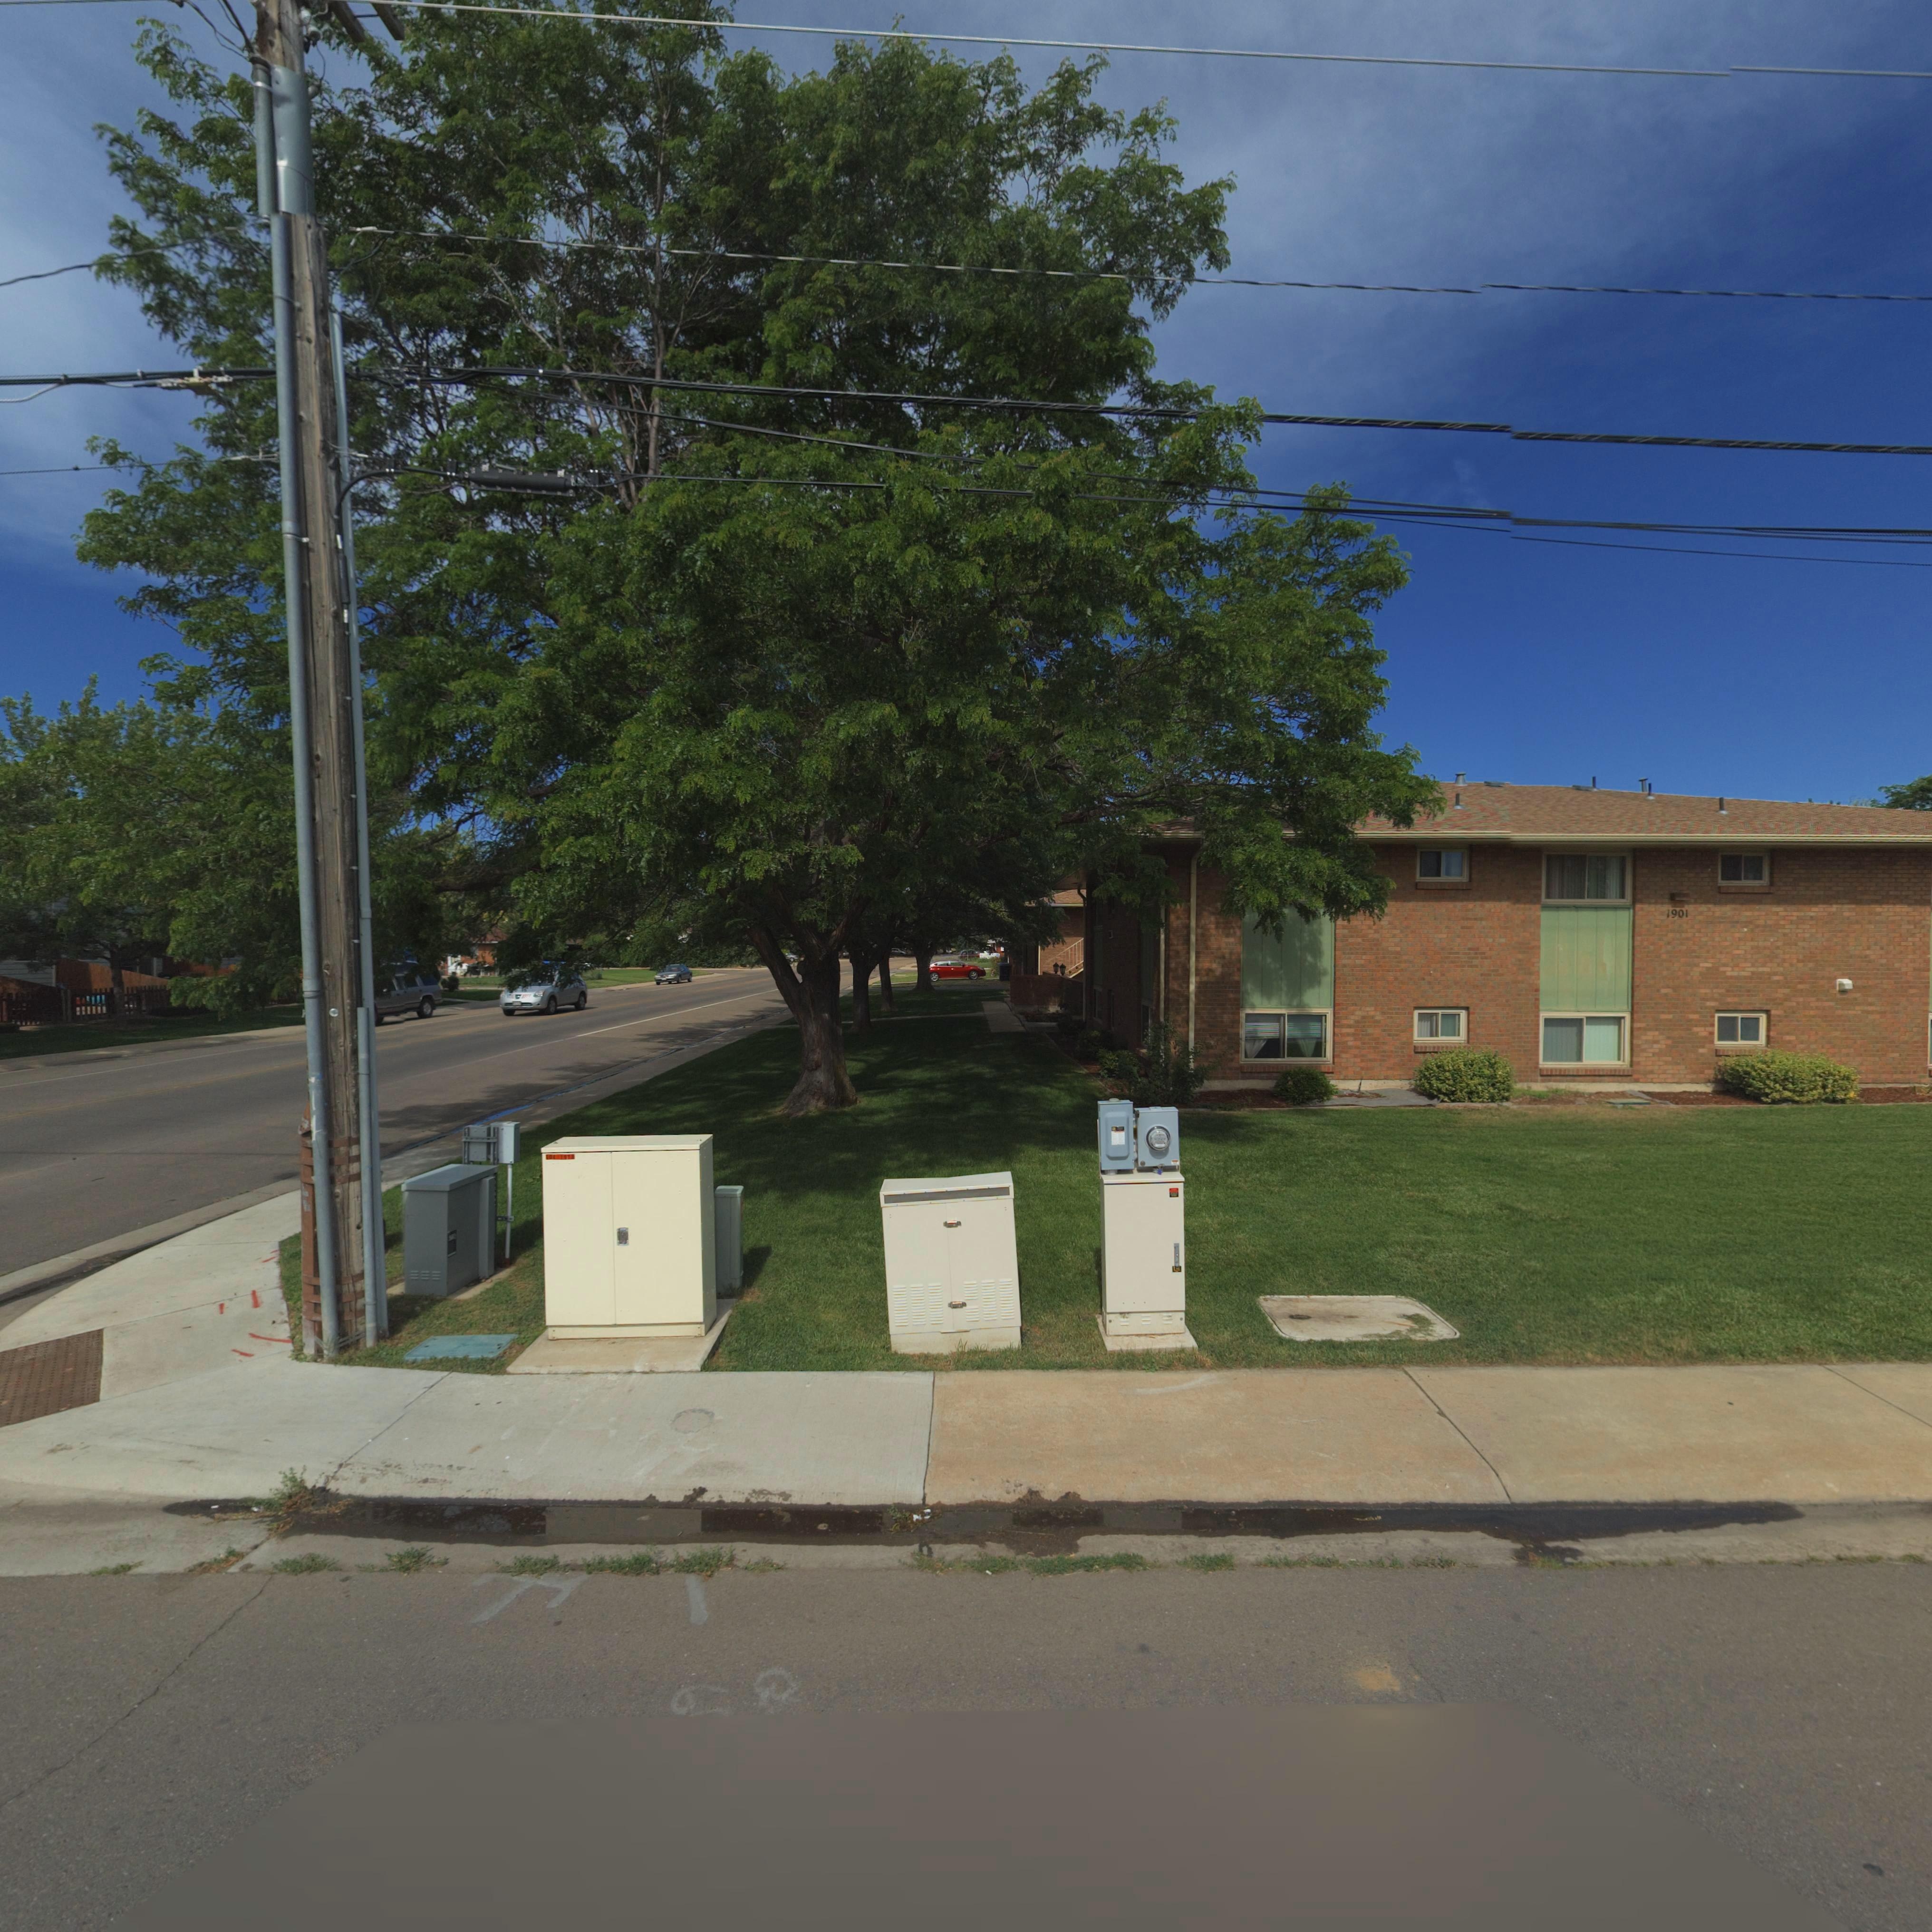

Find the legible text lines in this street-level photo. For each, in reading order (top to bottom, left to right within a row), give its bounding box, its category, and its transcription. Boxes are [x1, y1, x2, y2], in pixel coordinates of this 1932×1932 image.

[1666, 908, 1689, 918] StreetNumber: 1901